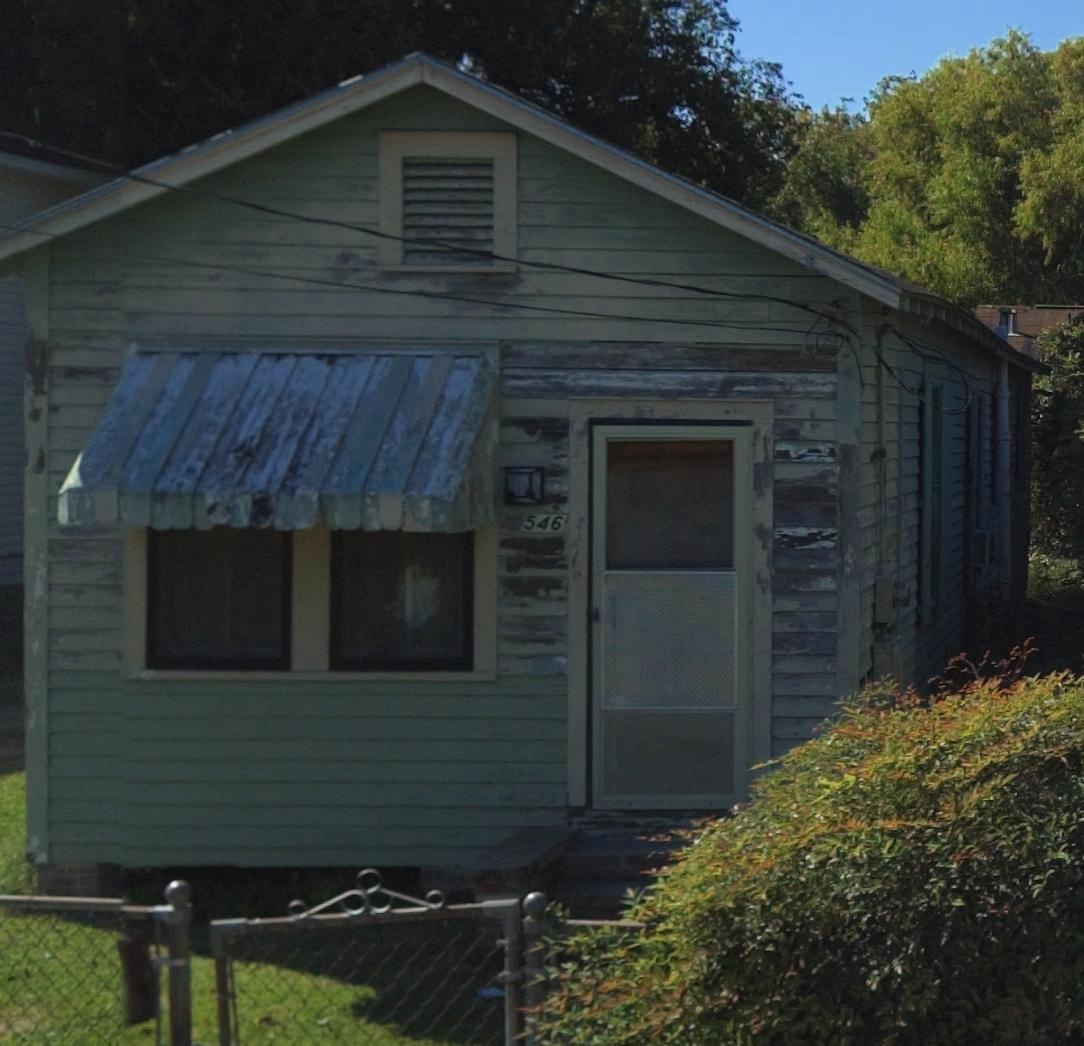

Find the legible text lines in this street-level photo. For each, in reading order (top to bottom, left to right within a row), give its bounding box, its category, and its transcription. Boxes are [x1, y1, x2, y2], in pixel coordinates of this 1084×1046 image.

[519, 514, 566, 533] StreetNumber: 546